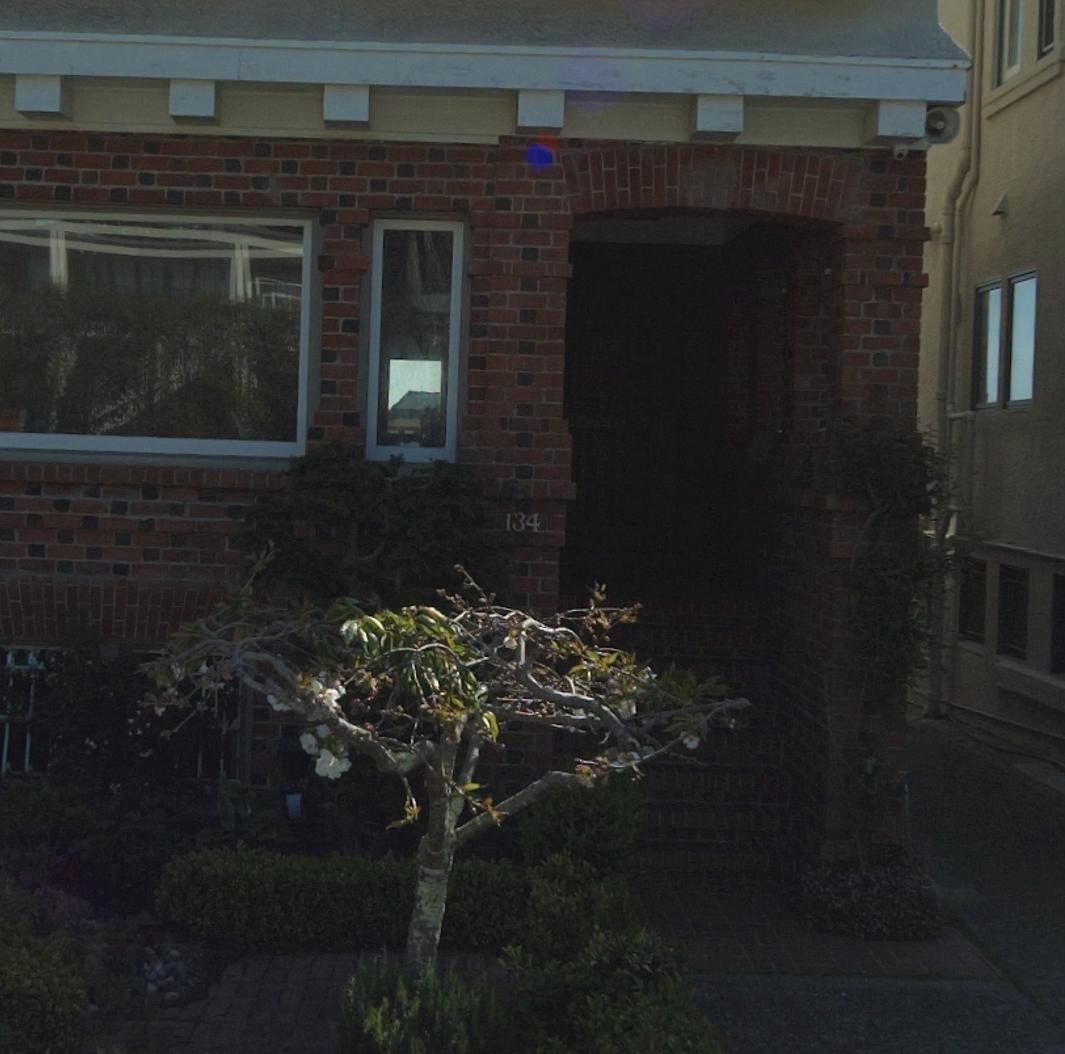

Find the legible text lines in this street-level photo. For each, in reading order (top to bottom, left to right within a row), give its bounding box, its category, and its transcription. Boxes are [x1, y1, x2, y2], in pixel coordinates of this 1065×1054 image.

[503, 510, 542, 535] StreetNumber: 134